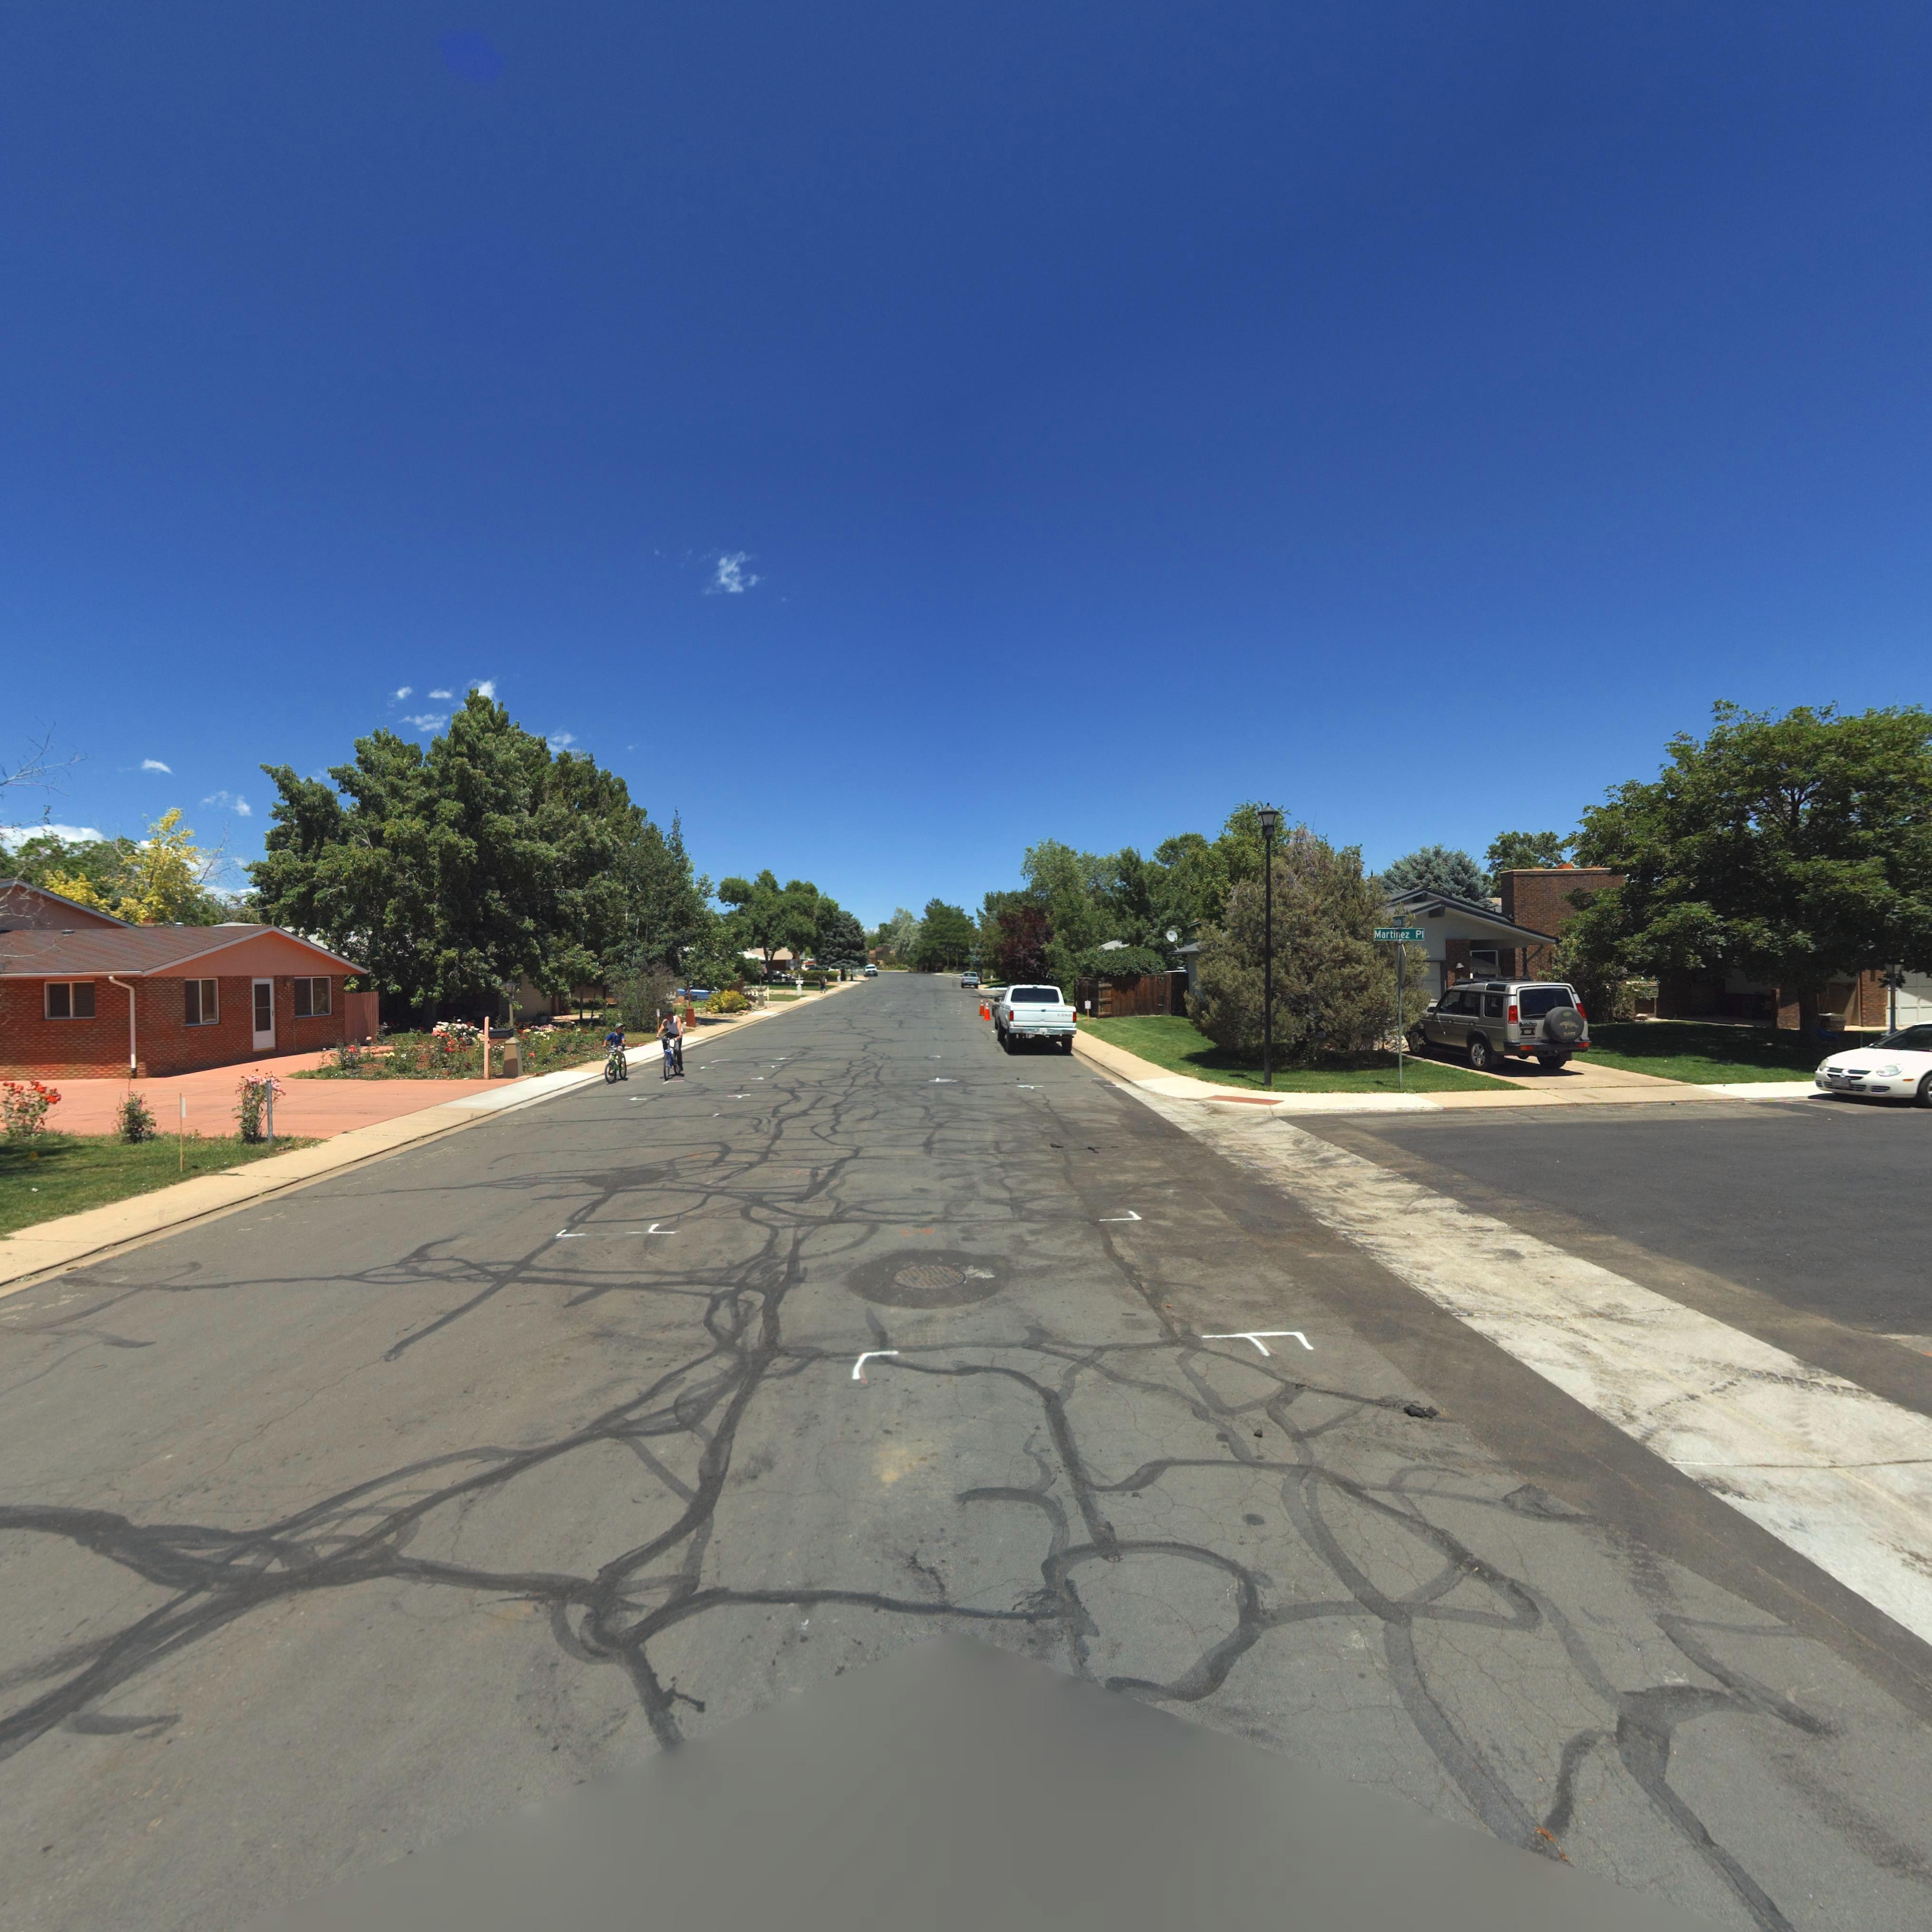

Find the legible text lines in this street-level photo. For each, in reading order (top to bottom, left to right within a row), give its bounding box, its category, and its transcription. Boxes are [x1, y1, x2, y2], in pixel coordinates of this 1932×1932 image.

[1393, 917, 1405, 927] StreetName: Meadow St
[1374, 929, 1424, 939] StreetName: Martinez Pl